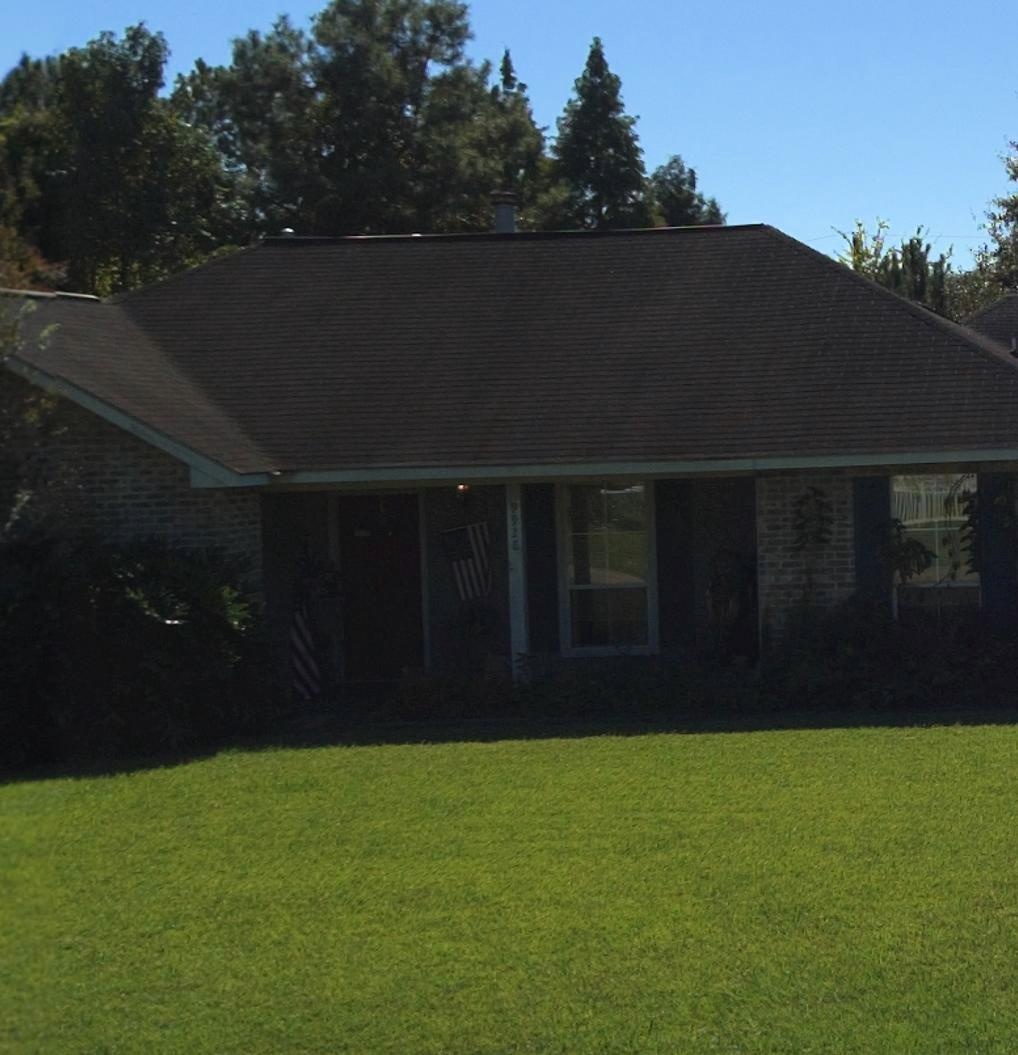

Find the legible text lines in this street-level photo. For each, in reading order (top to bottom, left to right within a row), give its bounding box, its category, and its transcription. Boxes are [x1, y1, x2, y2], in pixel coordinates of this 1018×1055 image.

[510, 501, 520, 552] StreetNumber: 9928